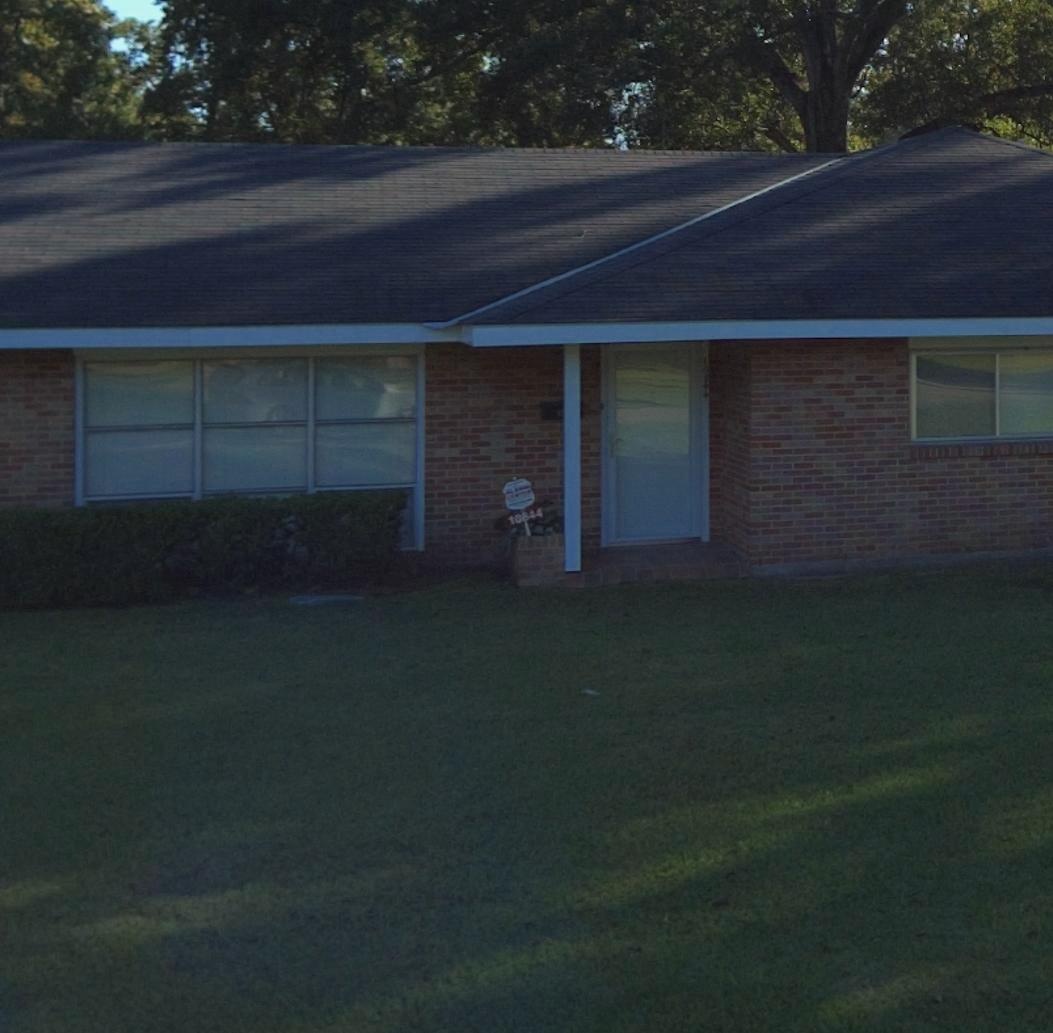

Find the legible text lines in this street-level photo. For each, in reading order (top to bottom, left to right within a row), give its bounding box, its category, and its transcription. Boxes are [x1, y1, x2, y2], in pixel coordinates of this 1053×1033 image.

[505, 505, 545, 527] StreetNumber: 10844